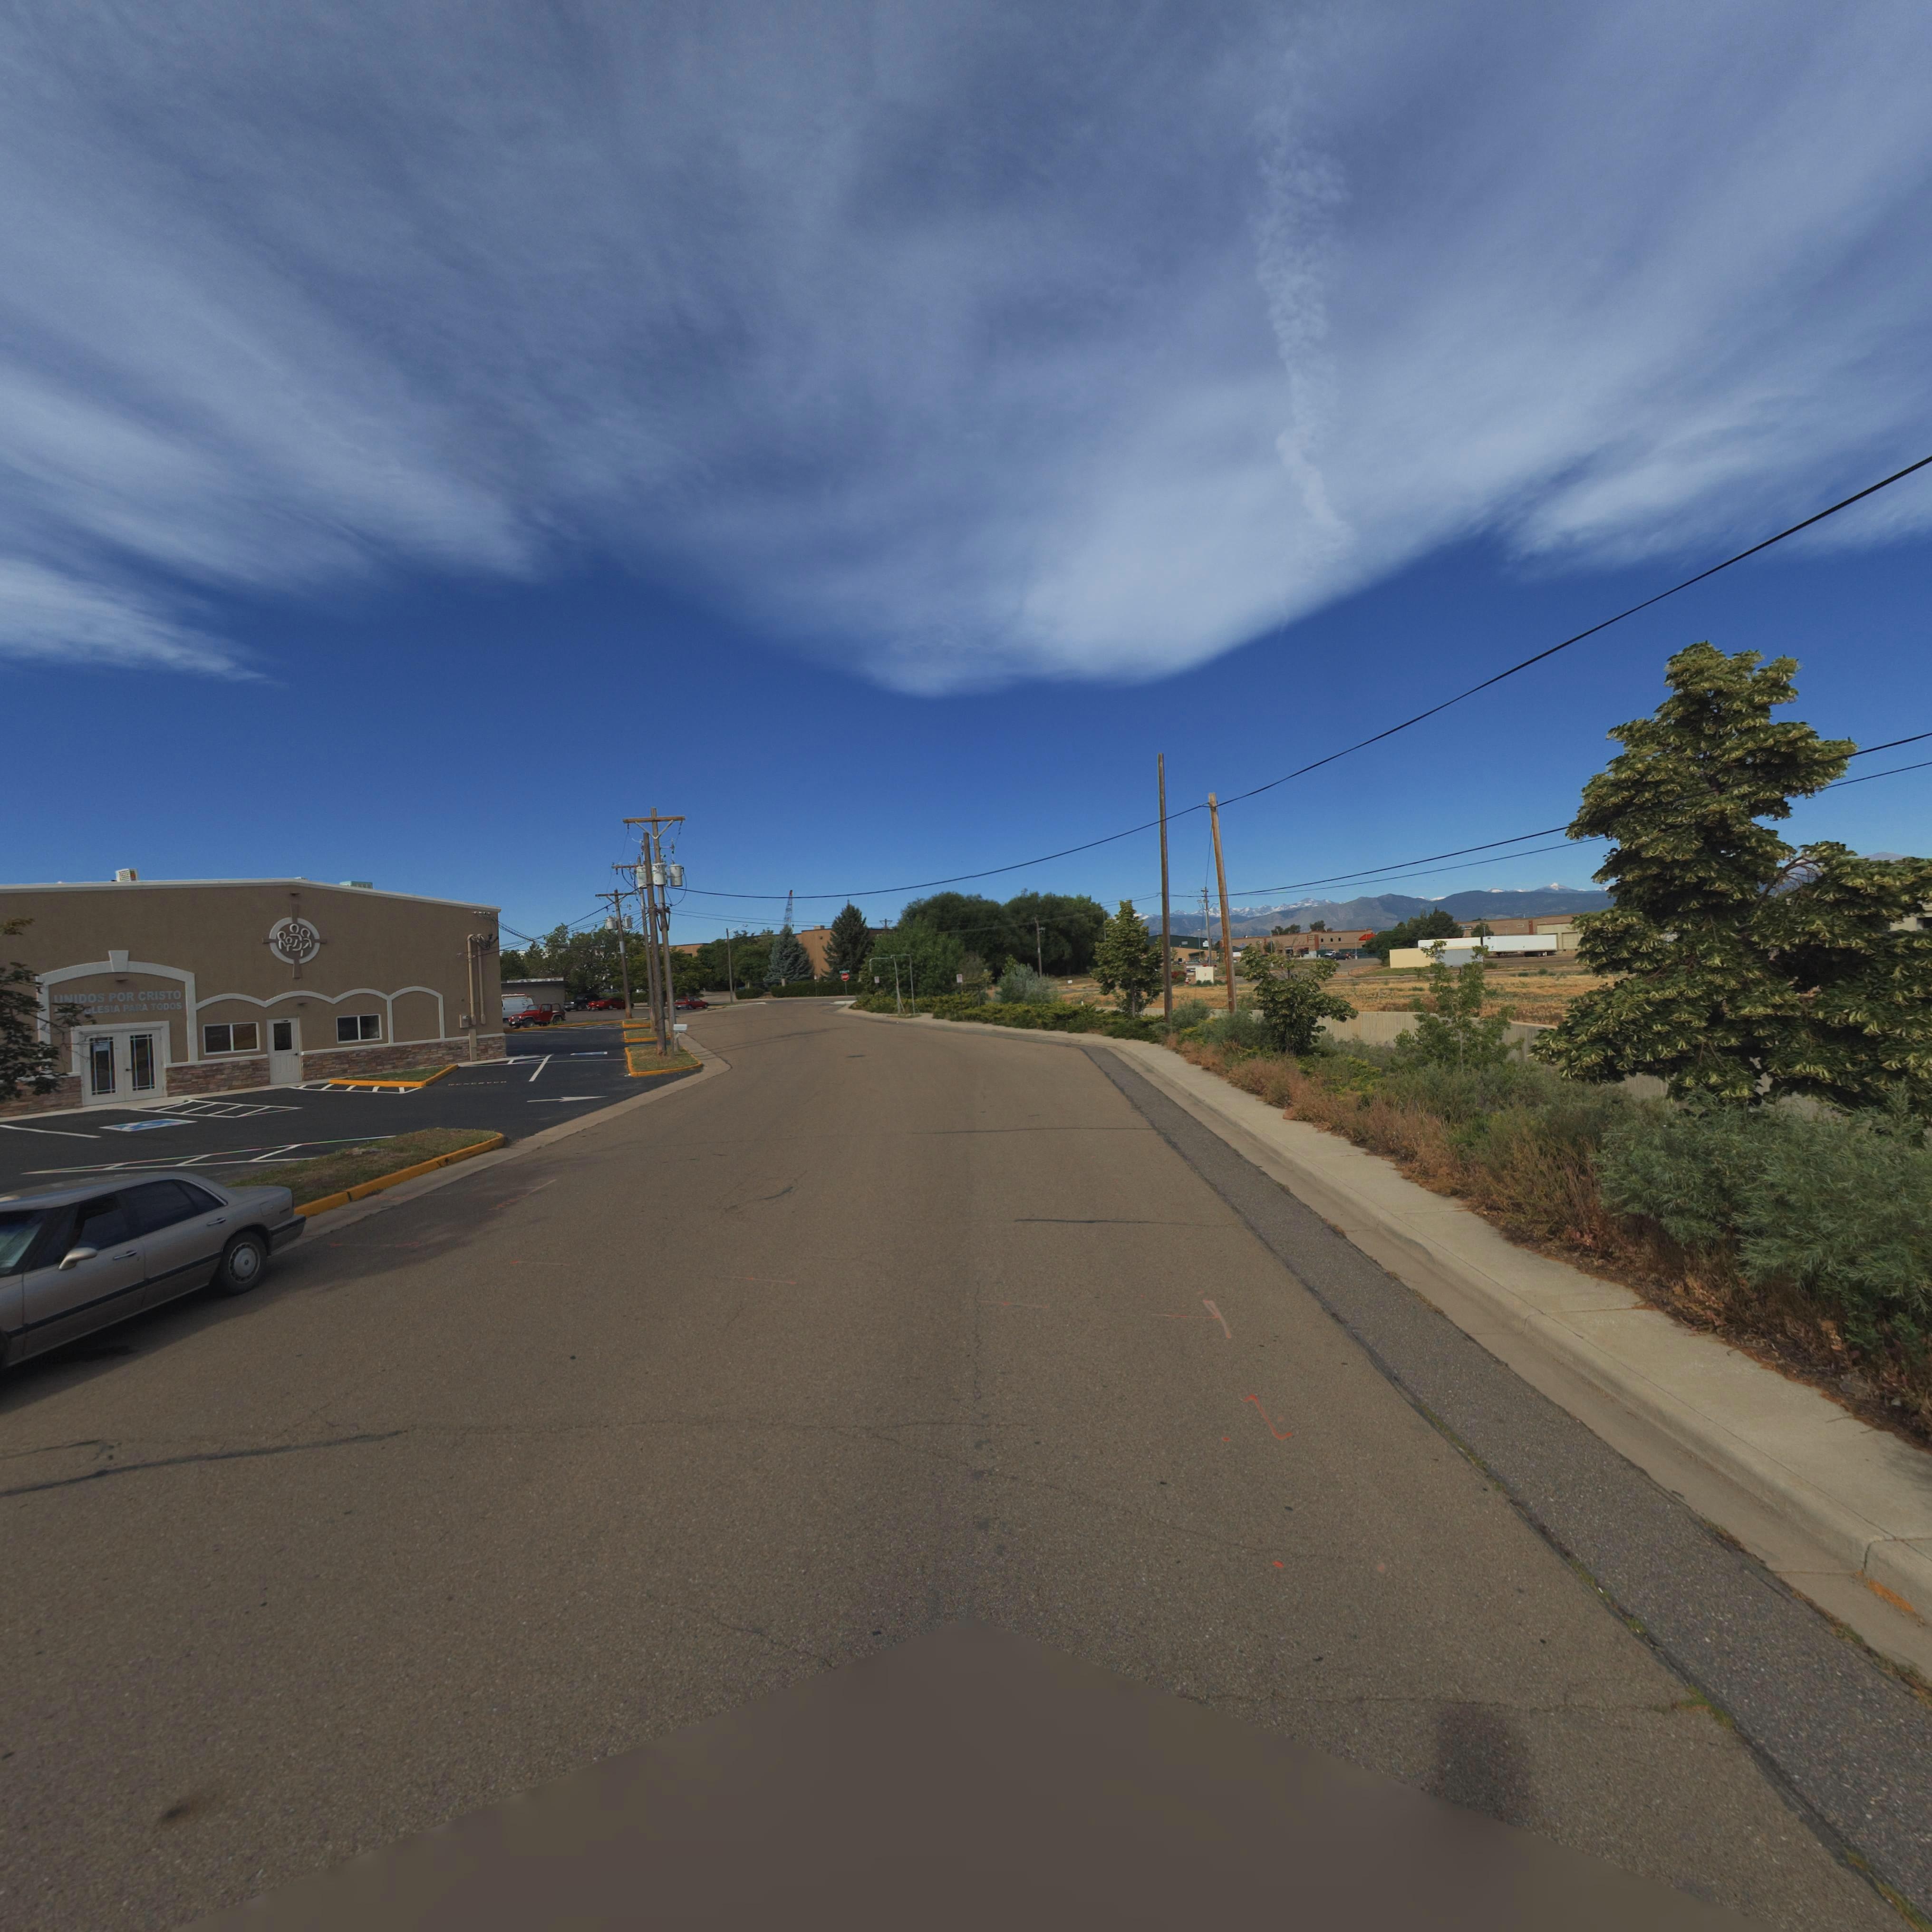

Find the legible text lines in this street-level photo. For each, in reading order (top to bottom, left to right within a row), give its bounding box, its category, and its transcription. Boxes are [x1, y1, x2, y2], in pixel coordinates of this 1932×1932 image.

[53, 990, 181, 1004] BusinessName: UNIDOS POR CRISTO 
[82, 1002, 182, 1015] BusinessName: *LESIA PARA TODOS